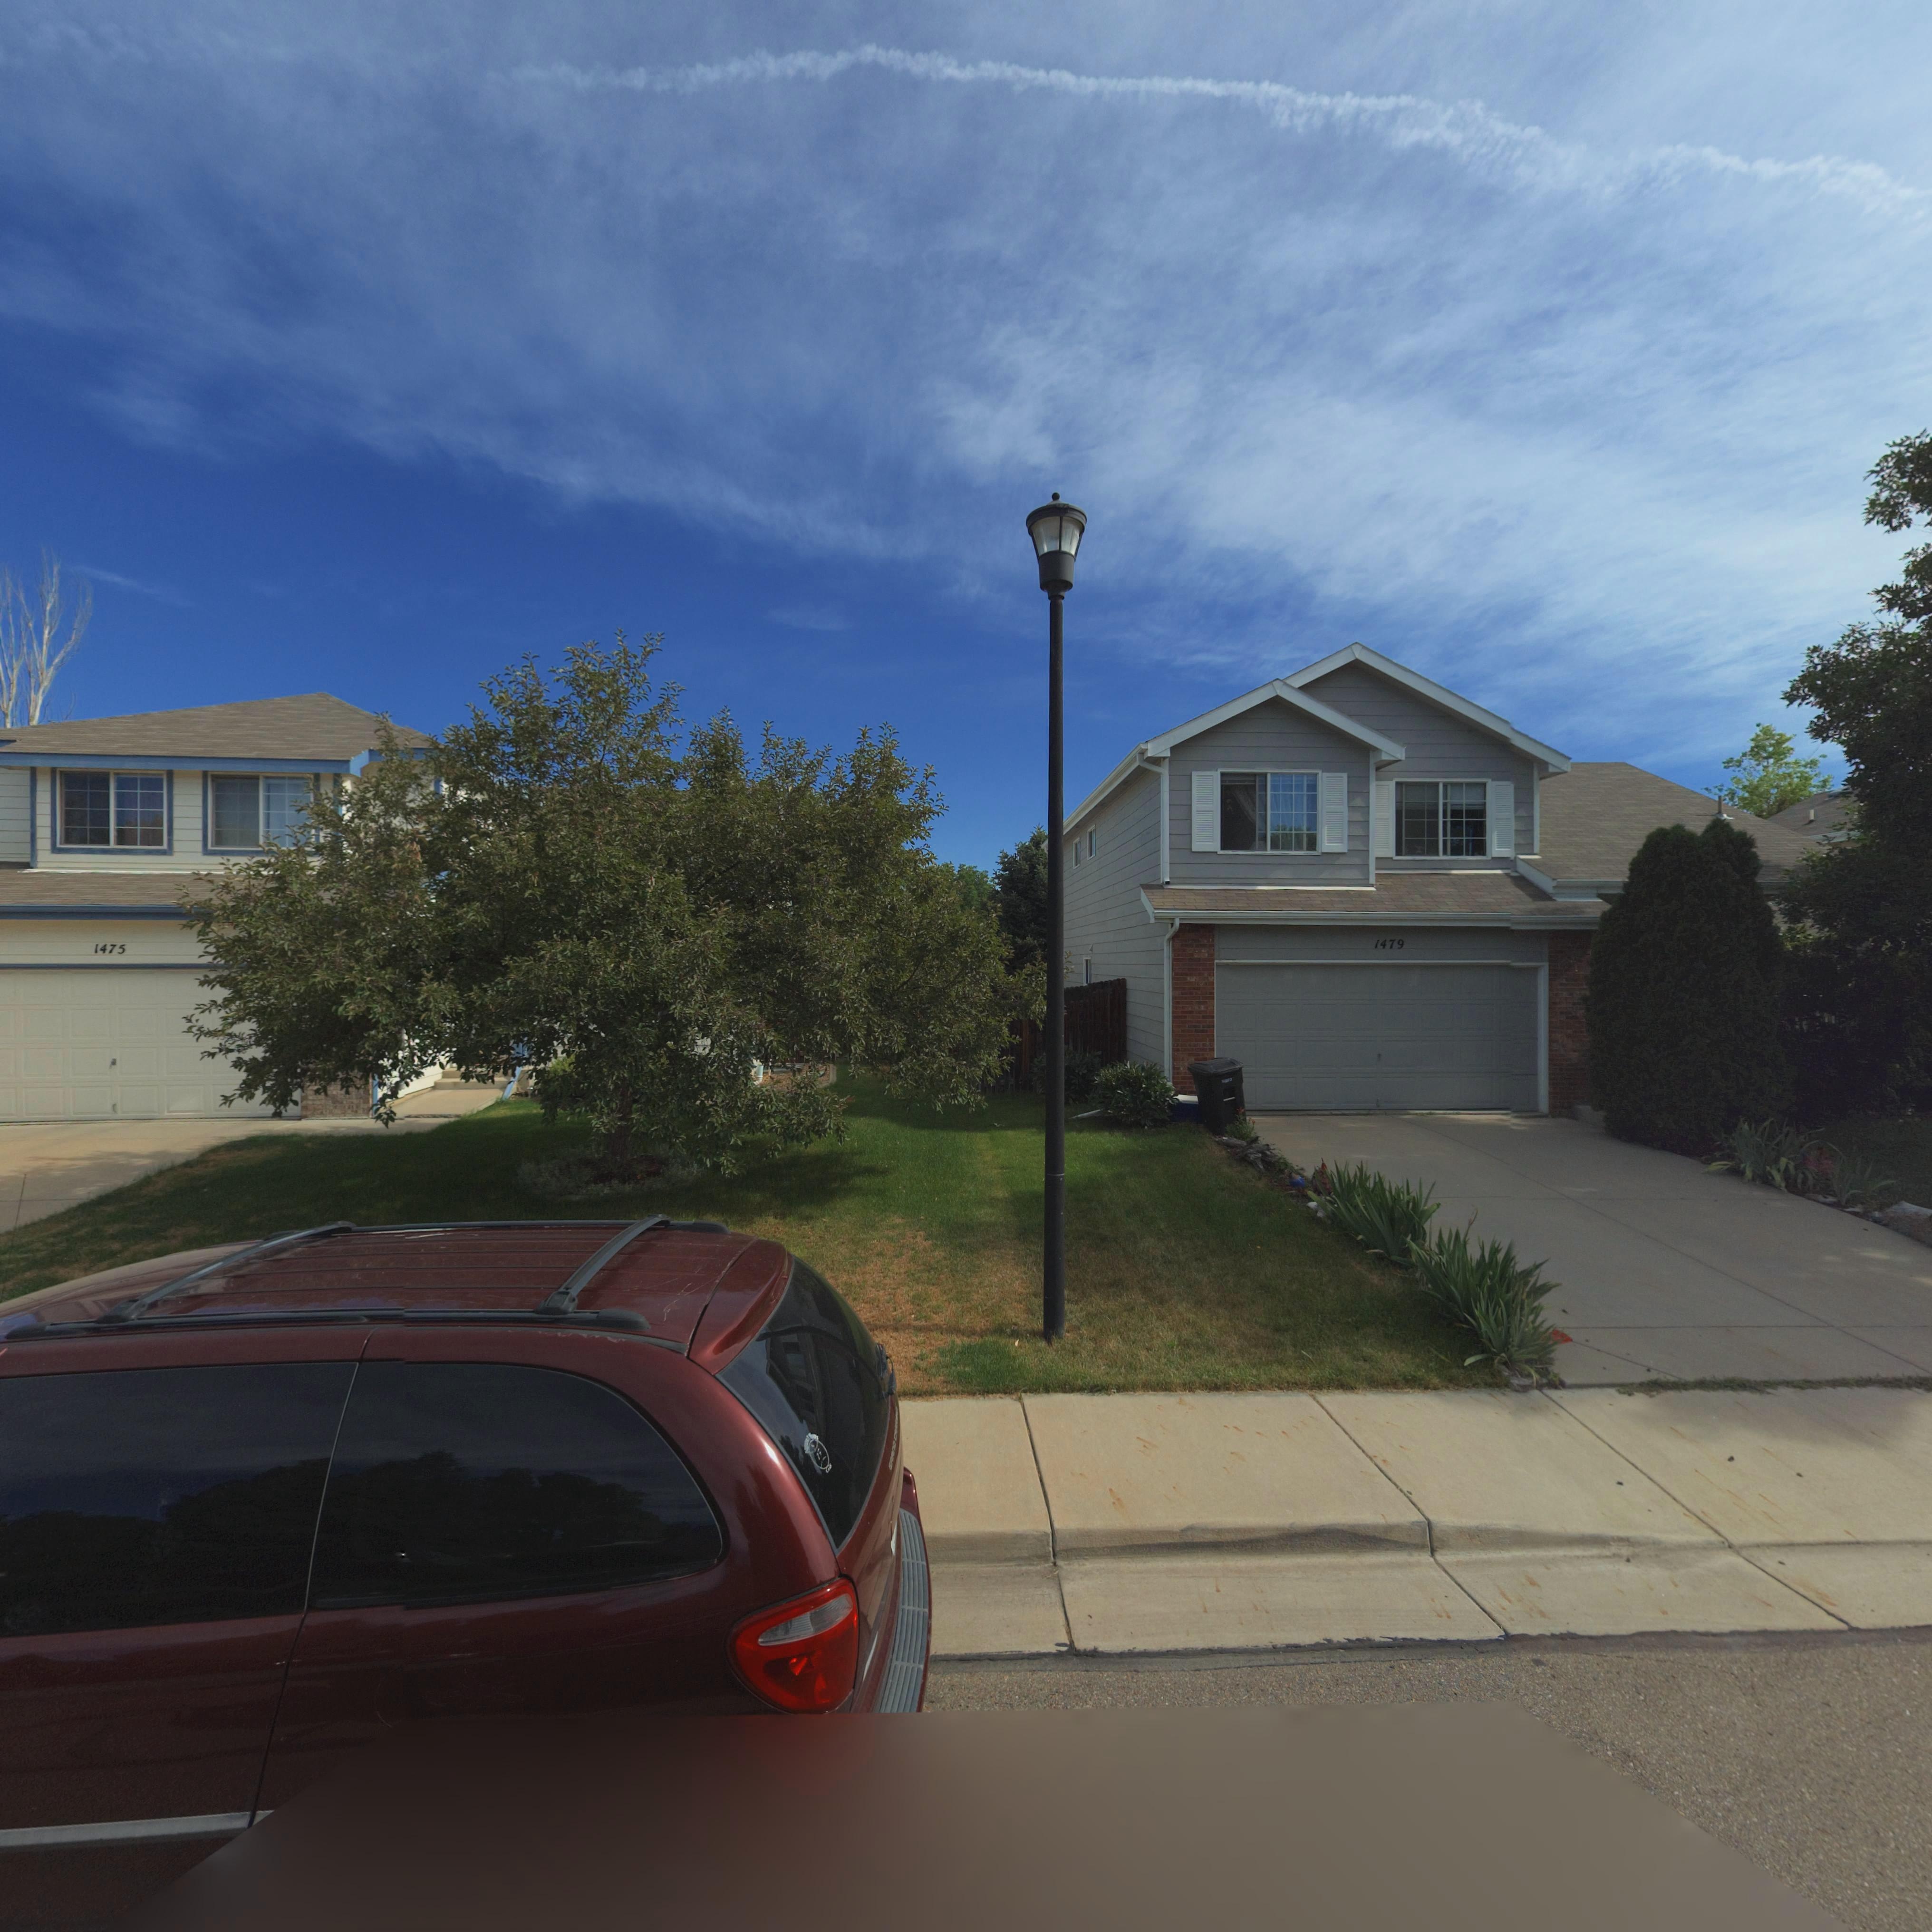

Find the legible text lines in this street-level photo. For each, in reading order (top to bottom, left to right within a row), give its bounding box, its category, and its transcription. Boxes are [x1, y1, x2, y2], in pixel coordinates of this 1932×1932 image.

[93, 943, 126, 955] StreetNumber: 1475
[1373, 938, 1404, 950] StreetNumber: 1479